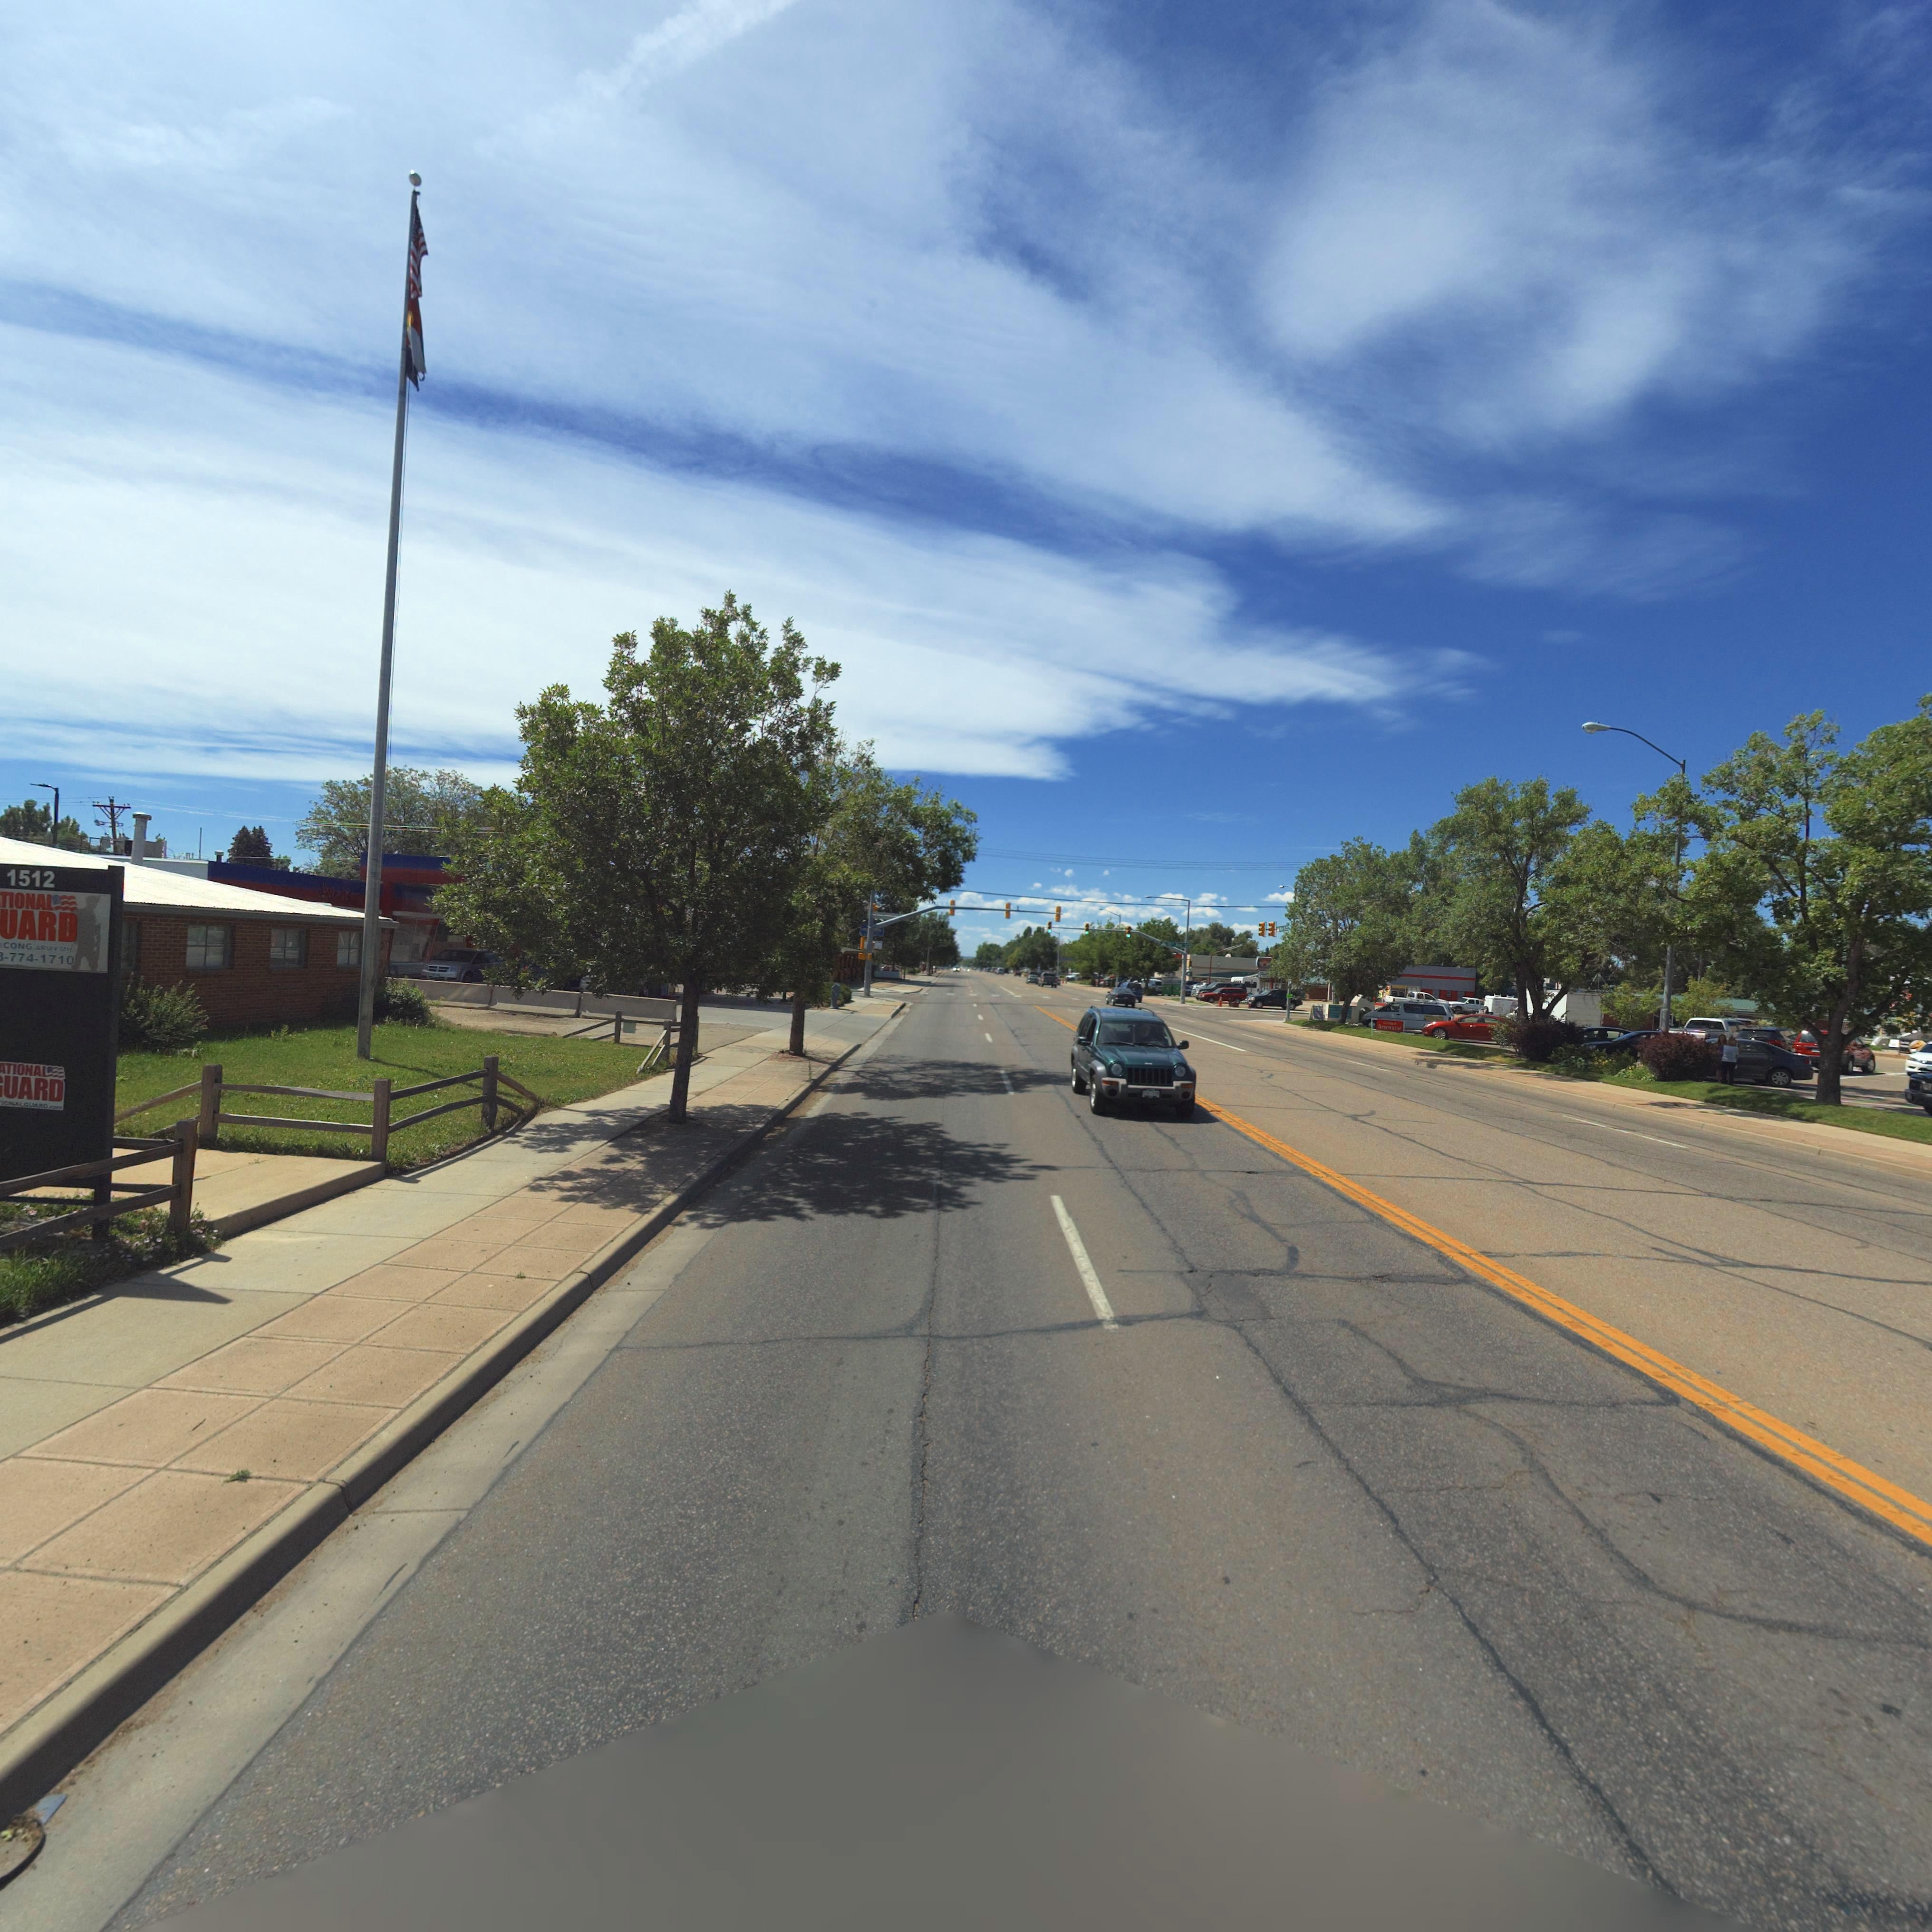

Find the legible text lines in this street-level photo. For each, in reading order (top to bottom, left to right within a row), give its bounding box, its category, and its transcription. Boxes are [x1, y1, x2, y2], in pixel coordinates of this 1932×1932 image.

[7, 869, 55, 888] StreetNumber: 1512
[0, 891, 54, 910] BusinessName: TIONAL
[0, 908, 78, 943] BusinessName: UARD
[1167, 941, 1182, 947] StreetName: 15** A**
[5, 1063, 50, 1078] BusinessName: TIONAL
[3, 1075, 63, 1102] BusinessName: UARD